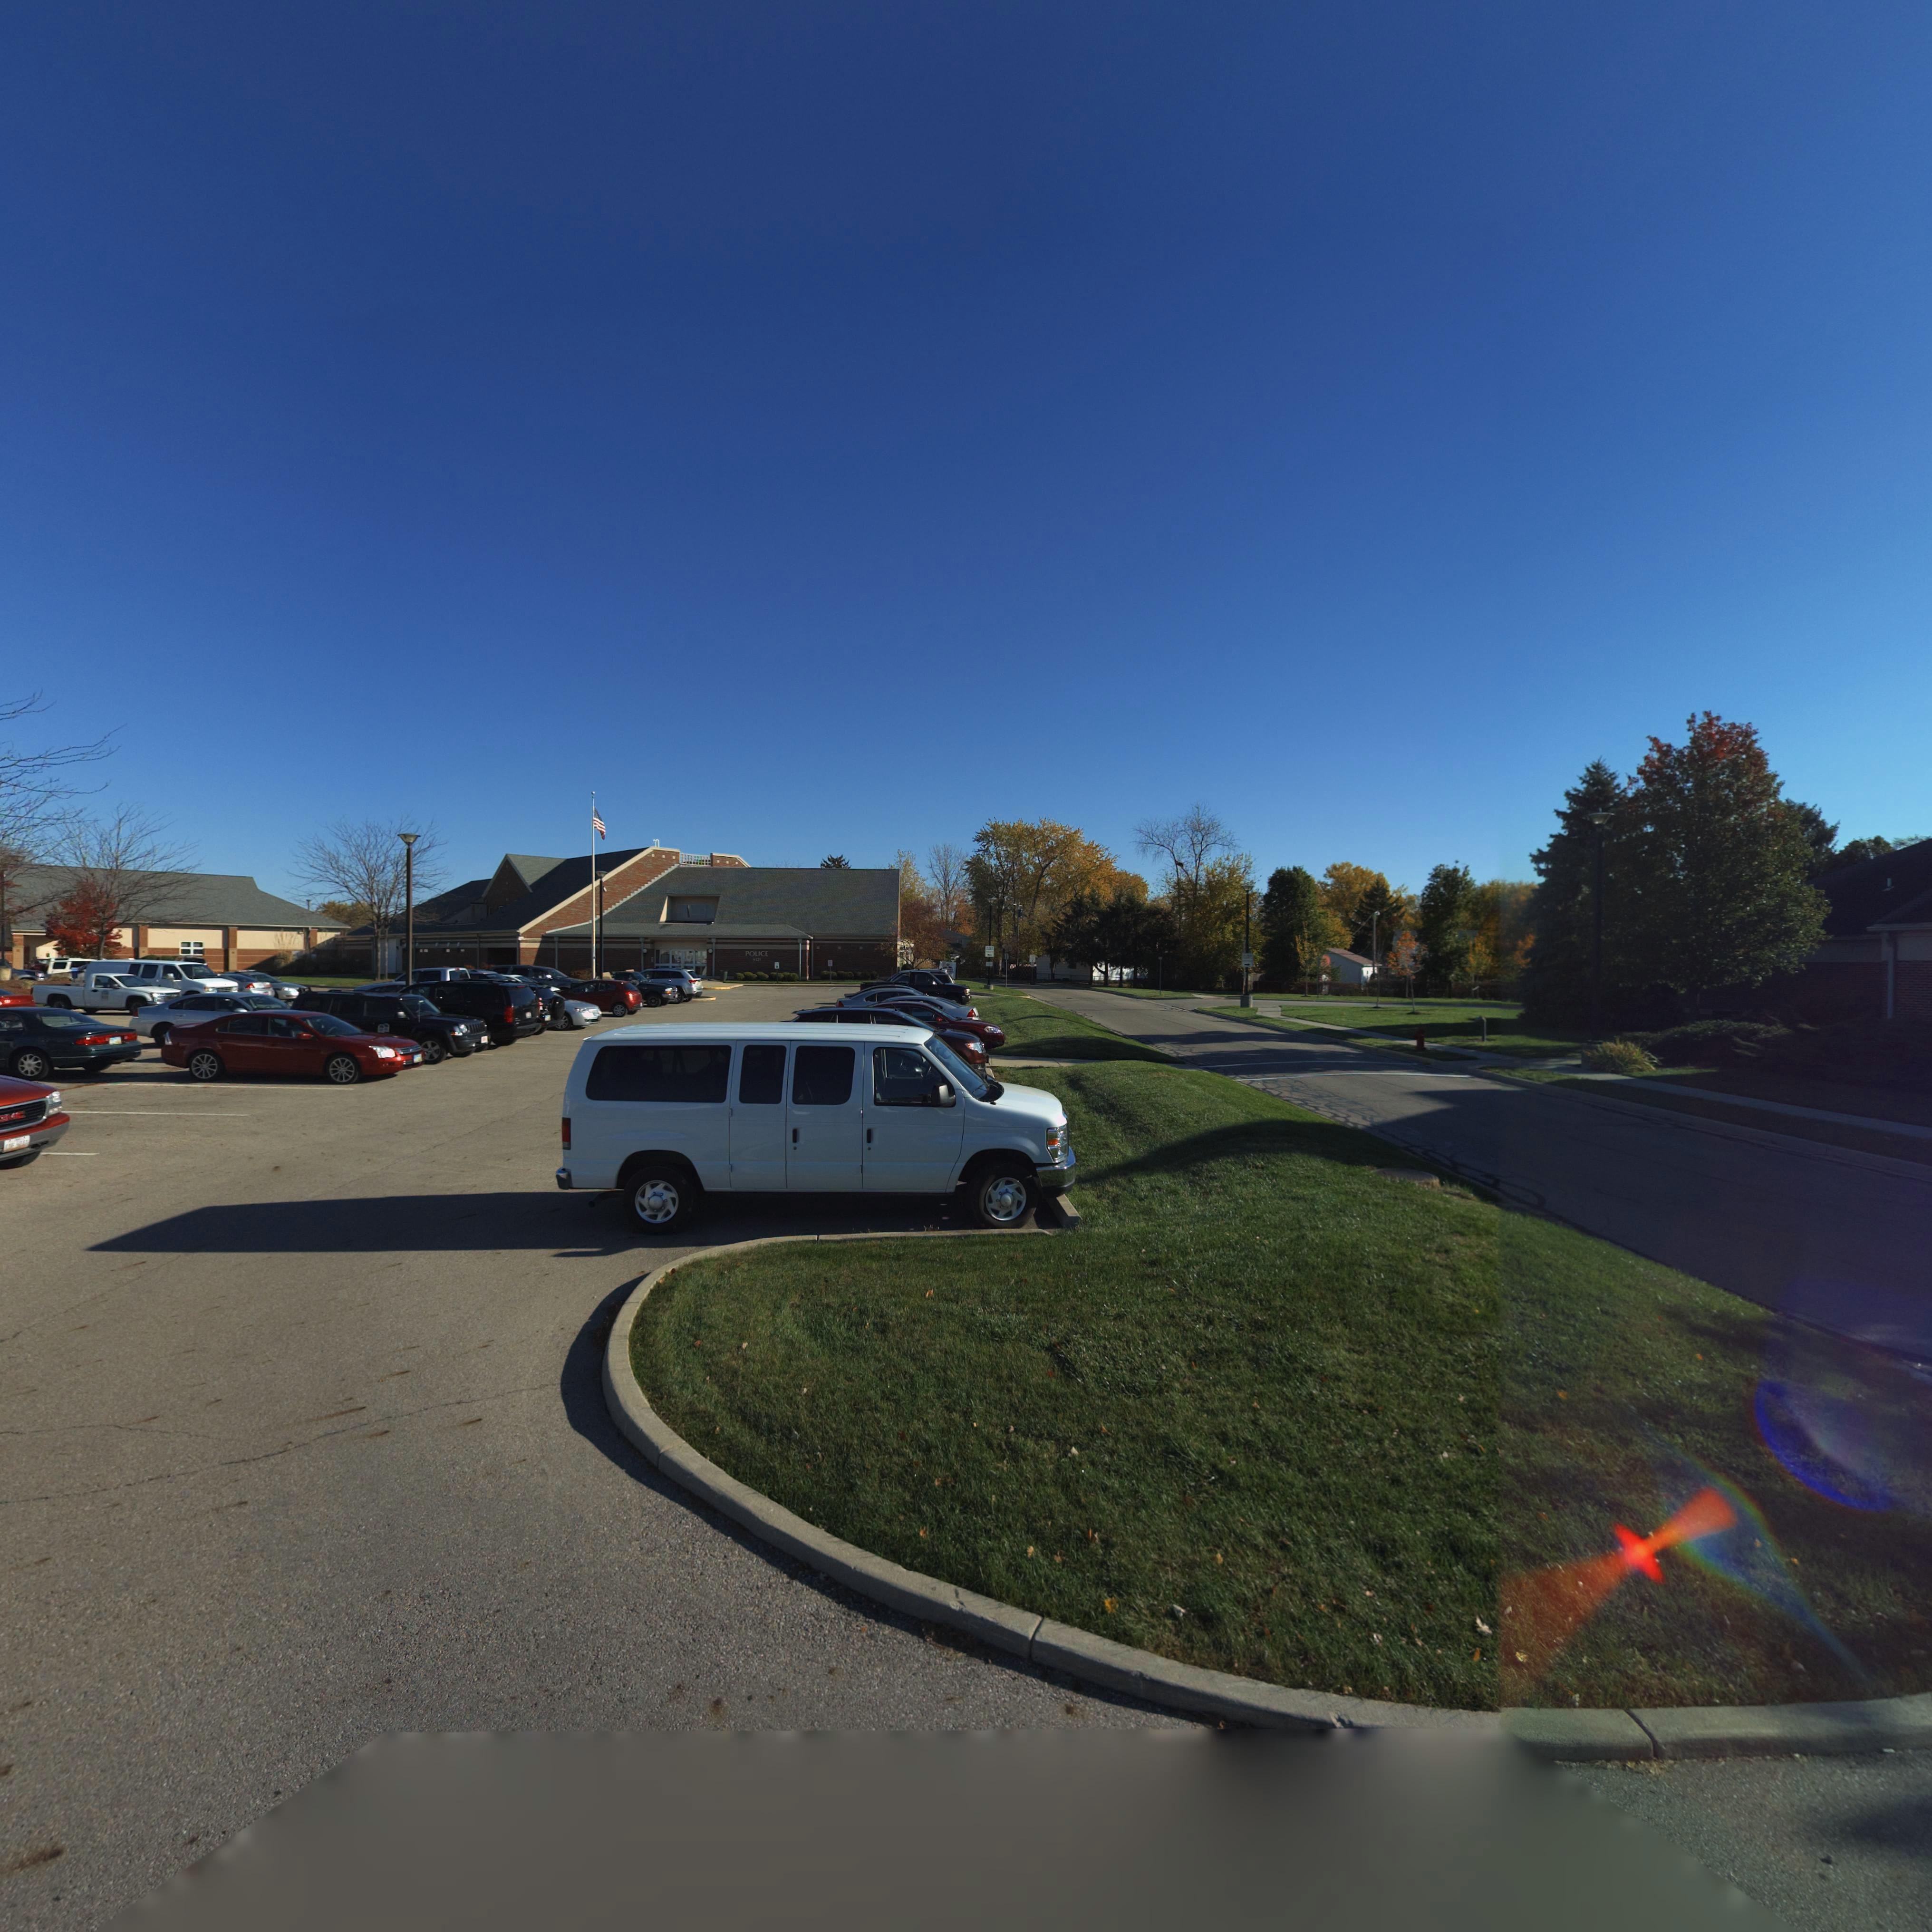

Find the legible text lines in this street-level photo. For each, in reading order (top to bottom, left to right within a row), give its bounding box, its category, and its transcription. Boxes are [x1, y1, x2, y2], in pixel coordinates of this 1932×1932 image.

[753, 957, 762, 962] StreetNumber: 6121